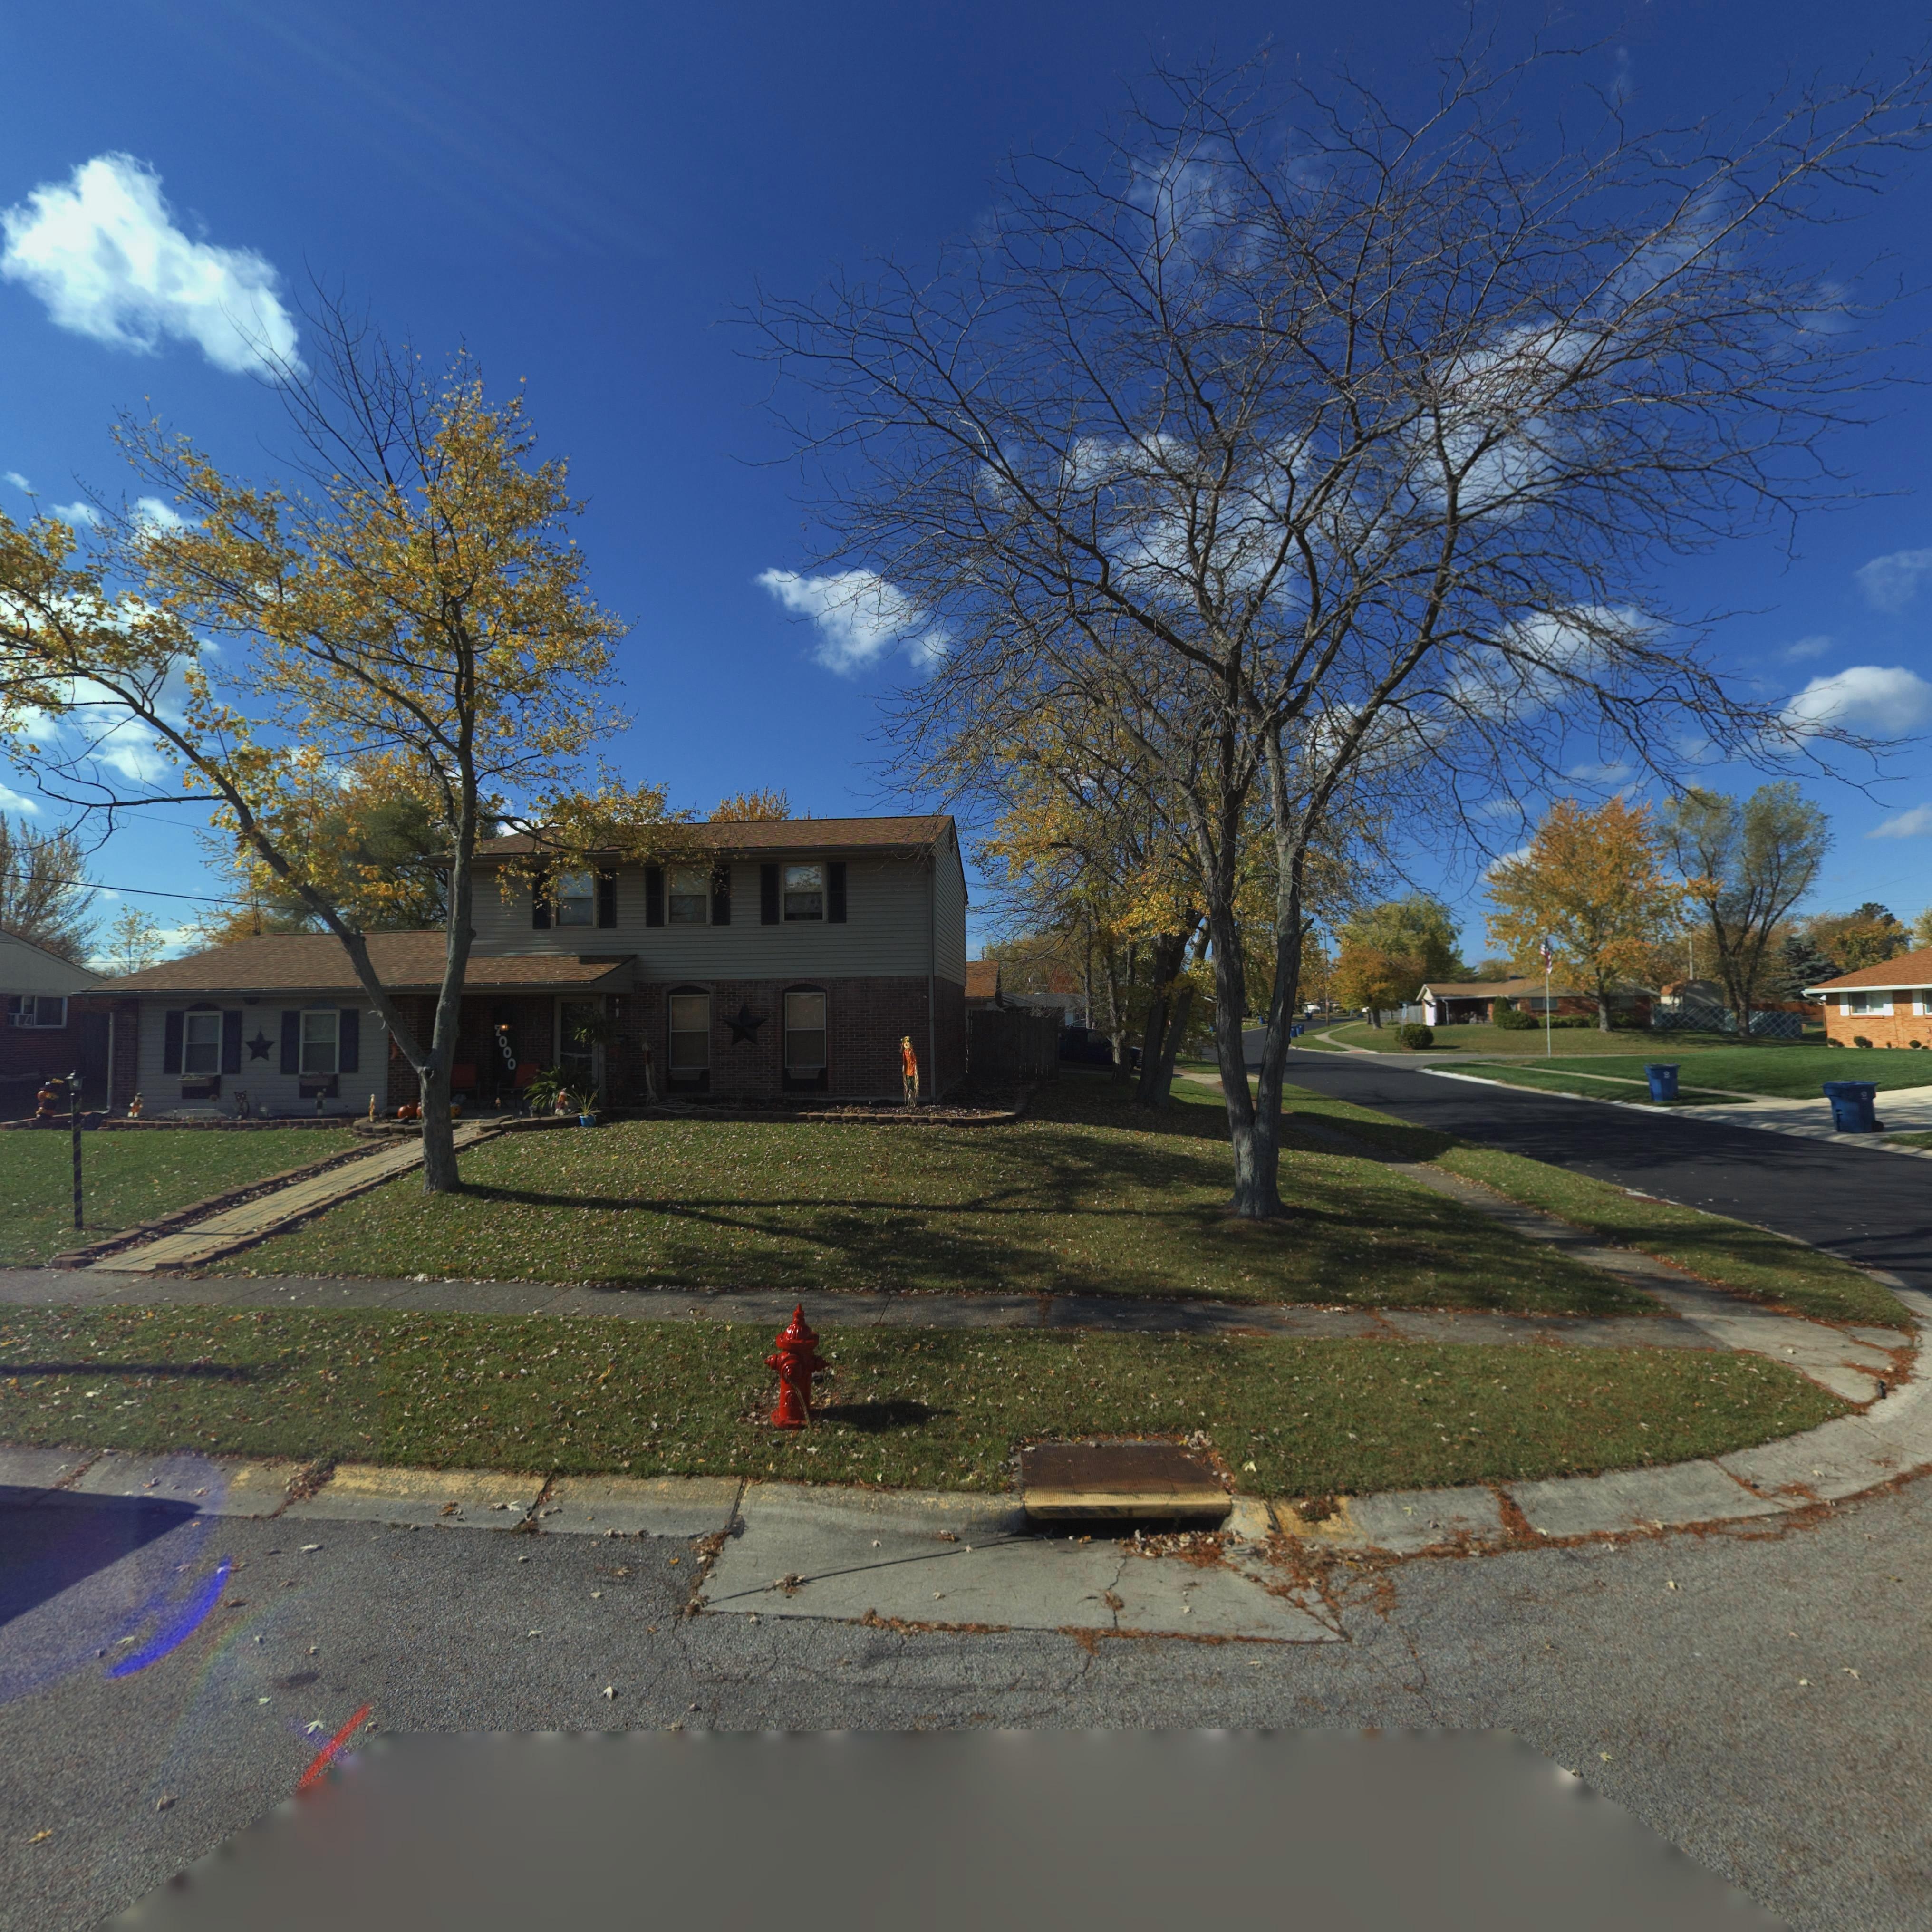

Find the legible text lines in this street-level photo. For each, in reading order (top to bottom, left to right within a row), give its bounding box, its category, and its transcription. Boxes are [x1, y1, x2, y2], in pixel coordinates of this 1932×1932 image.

[493, 1024, 518, 1072] StreetNumber: 7000